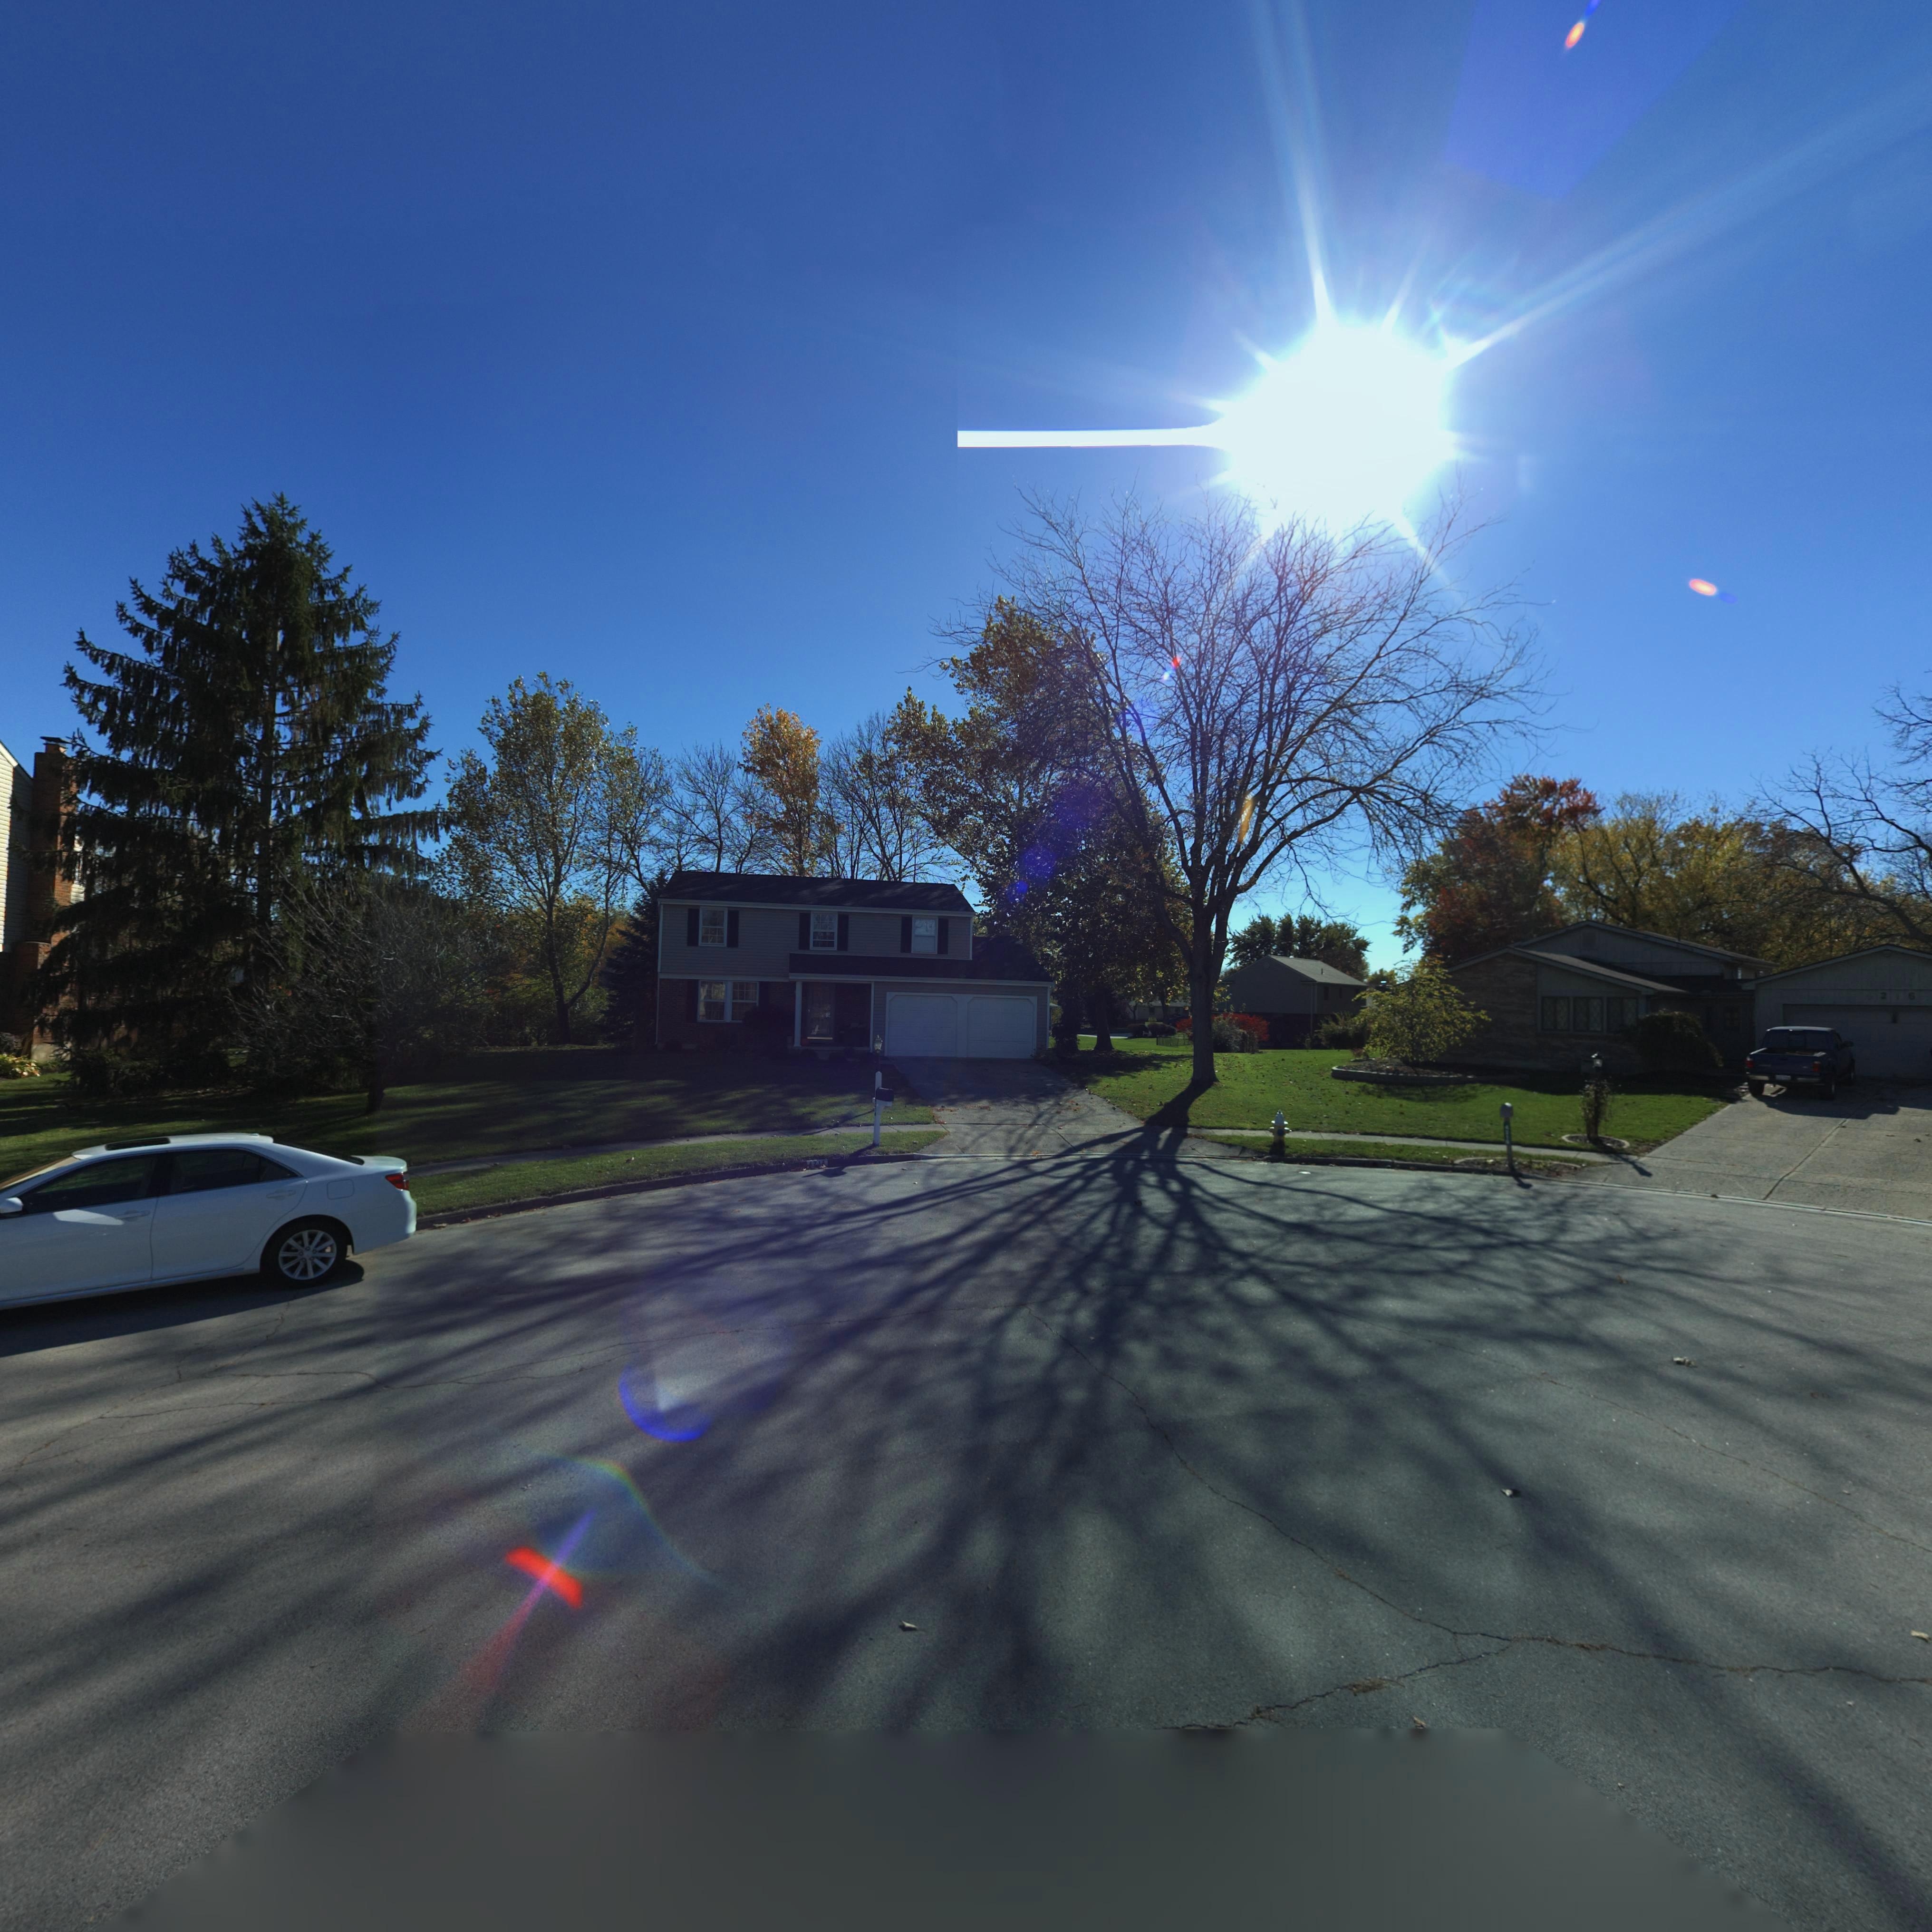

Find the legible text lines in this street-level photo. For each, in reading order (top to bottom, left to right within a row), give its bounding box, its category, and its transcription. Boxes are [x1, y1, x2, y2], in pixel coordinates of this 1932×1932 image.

[1865, 991, 1918, 1002] StreetNumber: *2*6